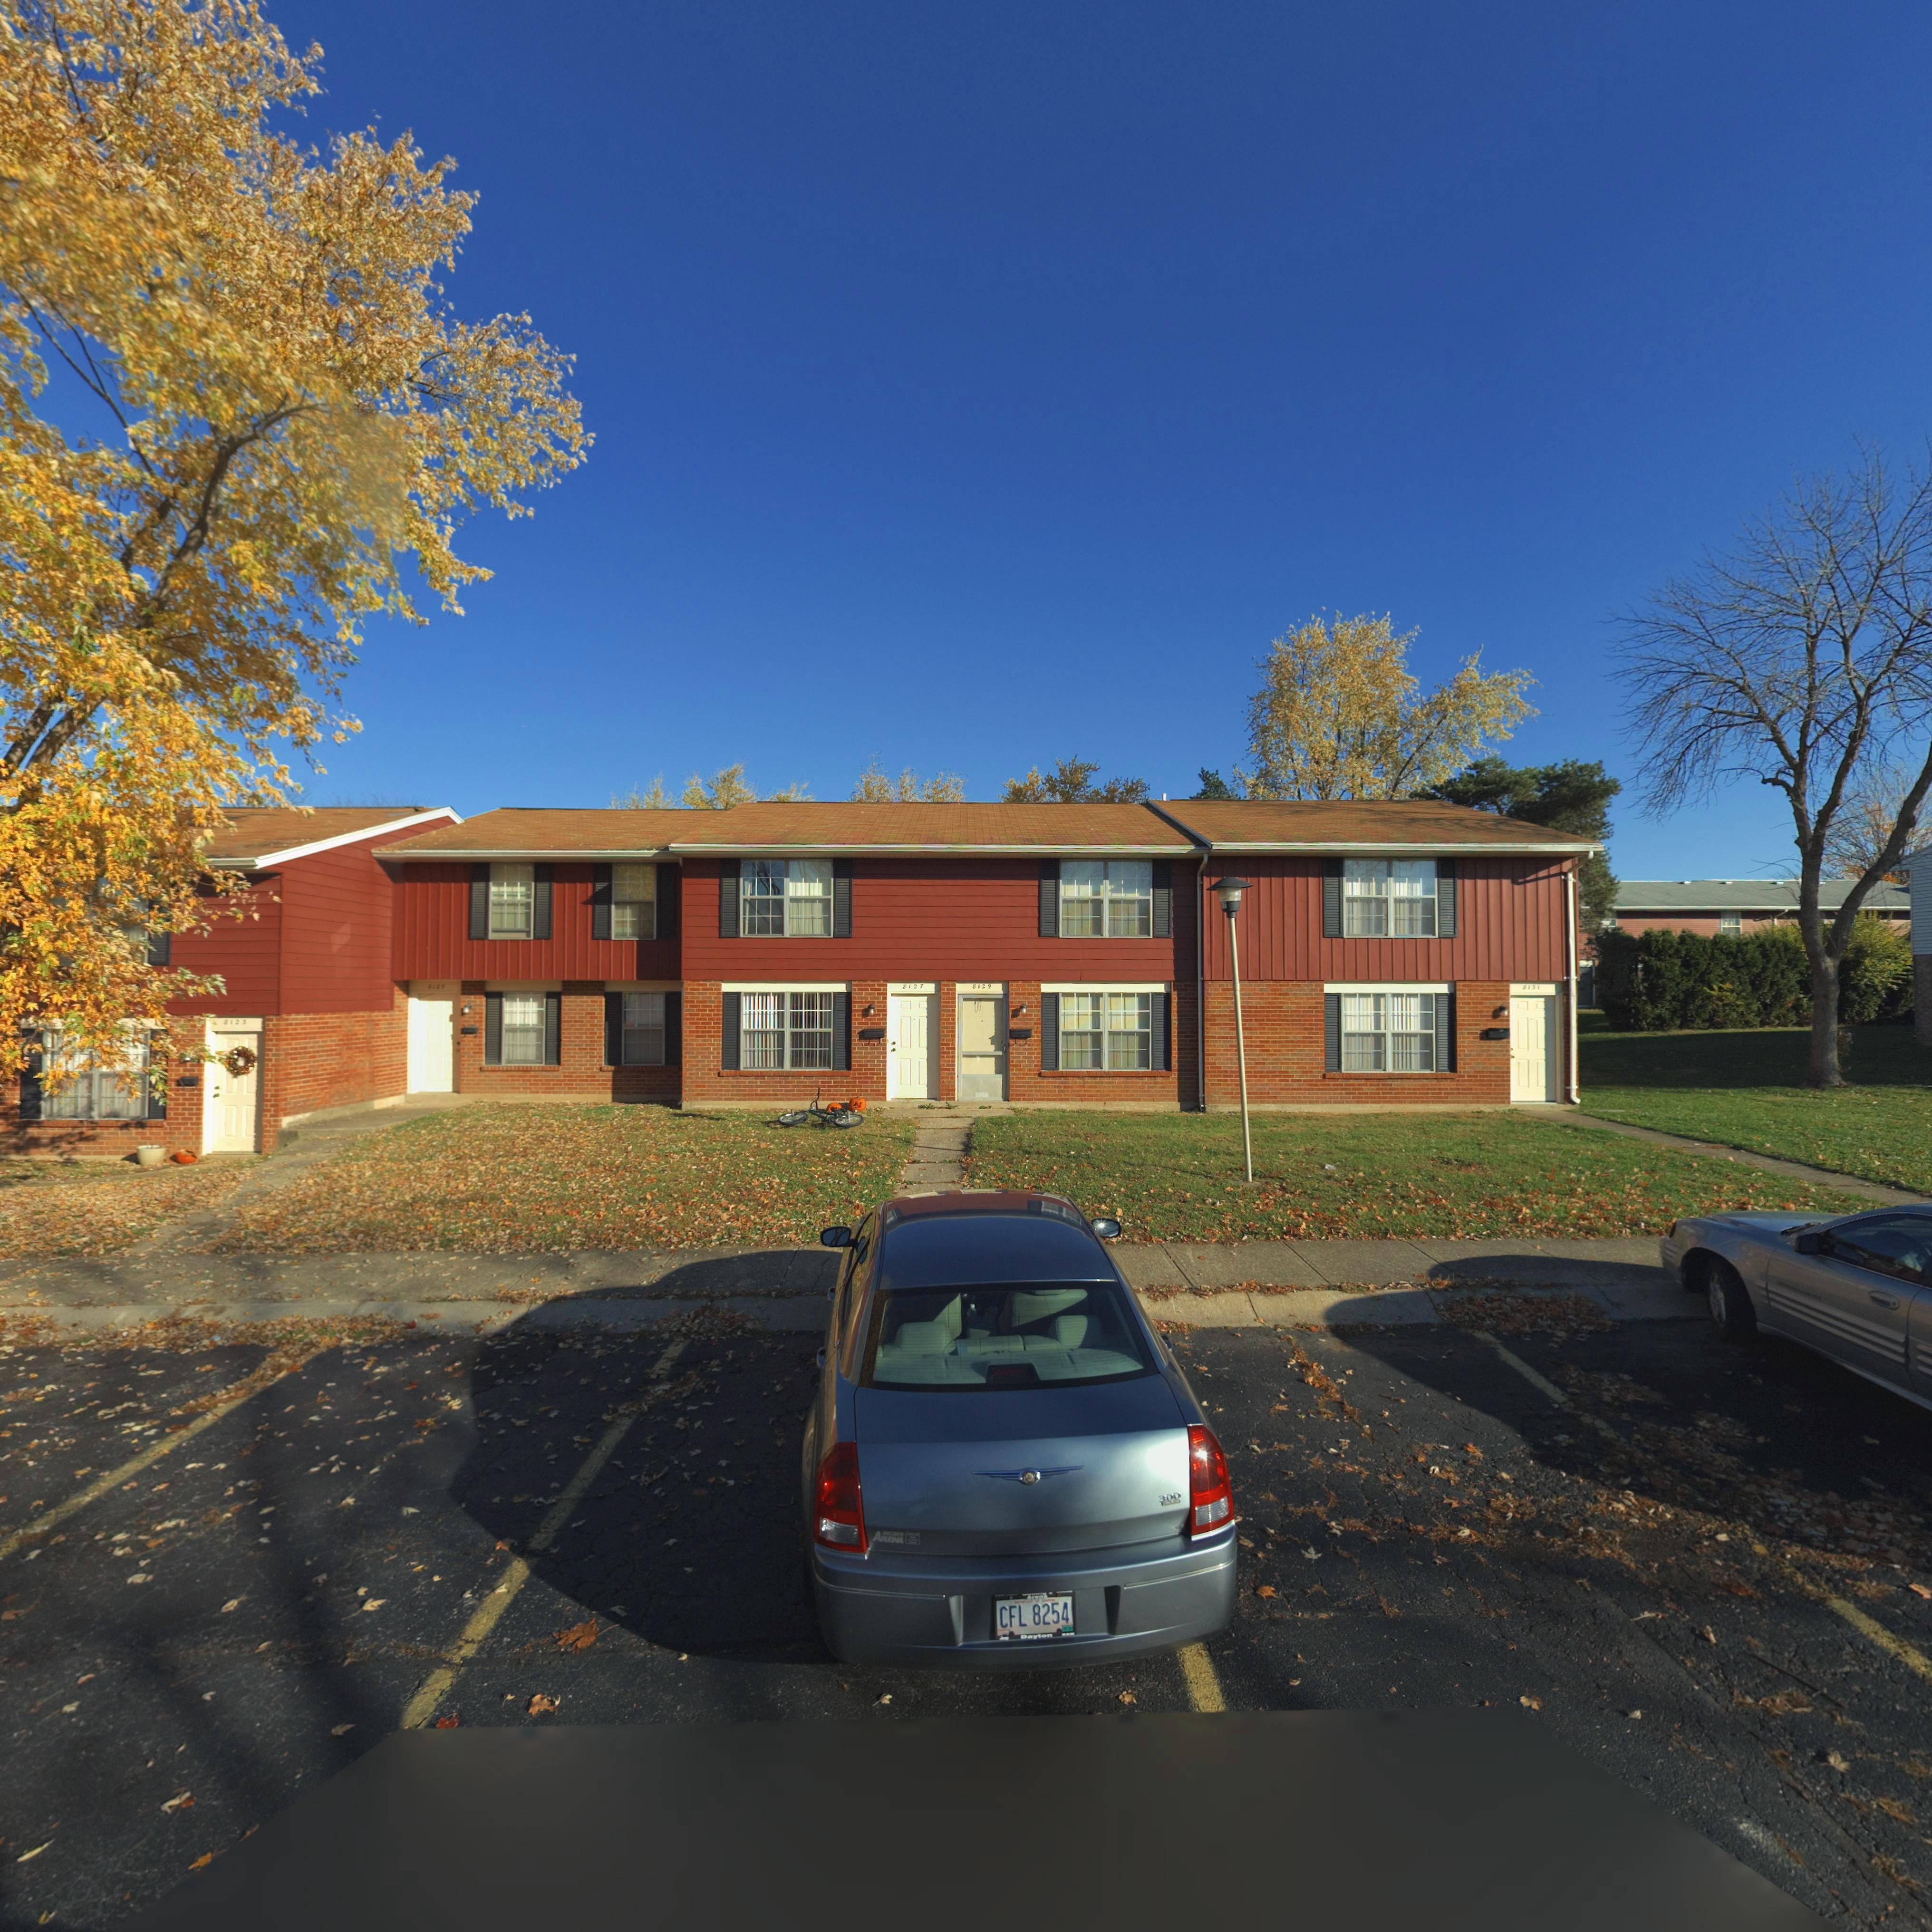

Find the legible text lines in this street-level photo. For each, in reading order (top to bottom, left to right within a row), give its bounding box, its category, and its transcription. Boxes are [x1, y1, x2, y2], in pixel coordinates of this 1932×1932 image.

[426, 983, 446, 990] StreetNumber: *12*
[901, 983, 925, 990] StreetNumber: 8127
[971, 983, 992, 990] StreetNumber: 8129
[1522, 984, 1541, 991] StreetNumber: *1*1
[222, 1018, 248, 1026] StreetNumber: 812*